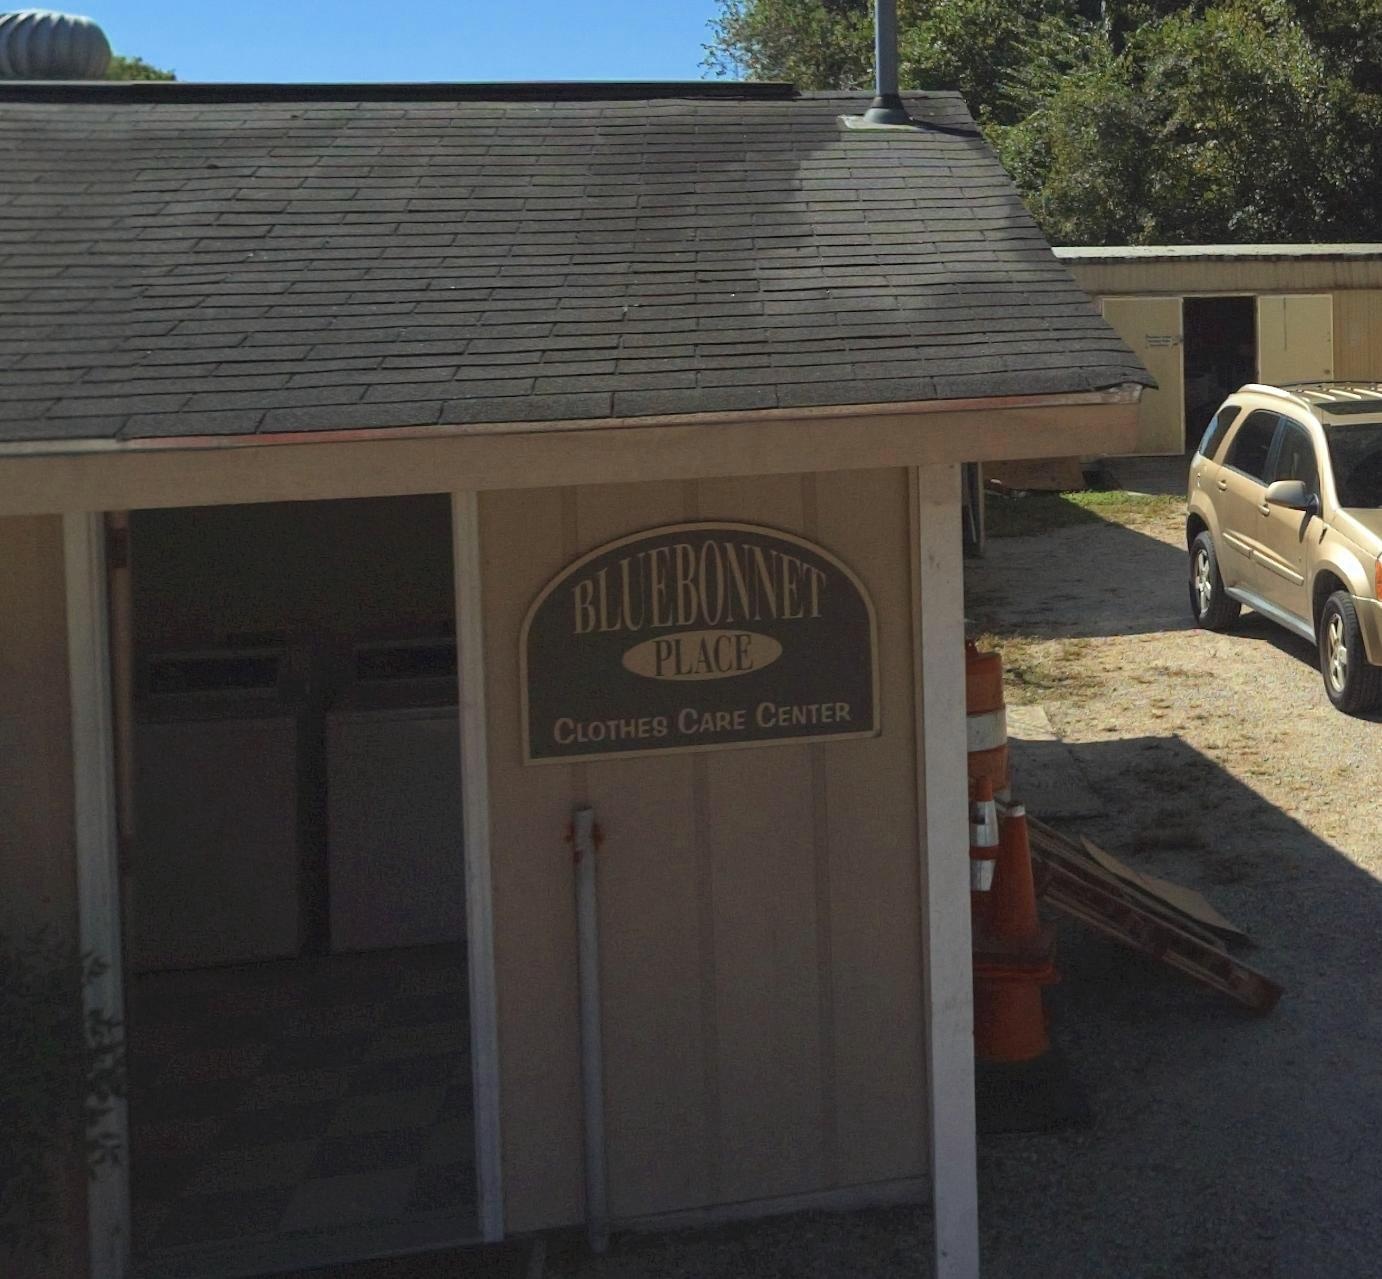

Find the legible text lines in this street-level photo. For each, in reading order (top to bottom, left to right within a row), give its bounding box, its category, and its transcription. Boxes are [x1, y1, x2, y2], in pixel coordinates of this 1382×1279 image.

[569, 538, 828, 636] BusinessName: BLUEBONNET
[650, 631, 754, 679] BusinessName: PLACE
[552, 698, 854, 748] None: CLOTHES CARE CENTER